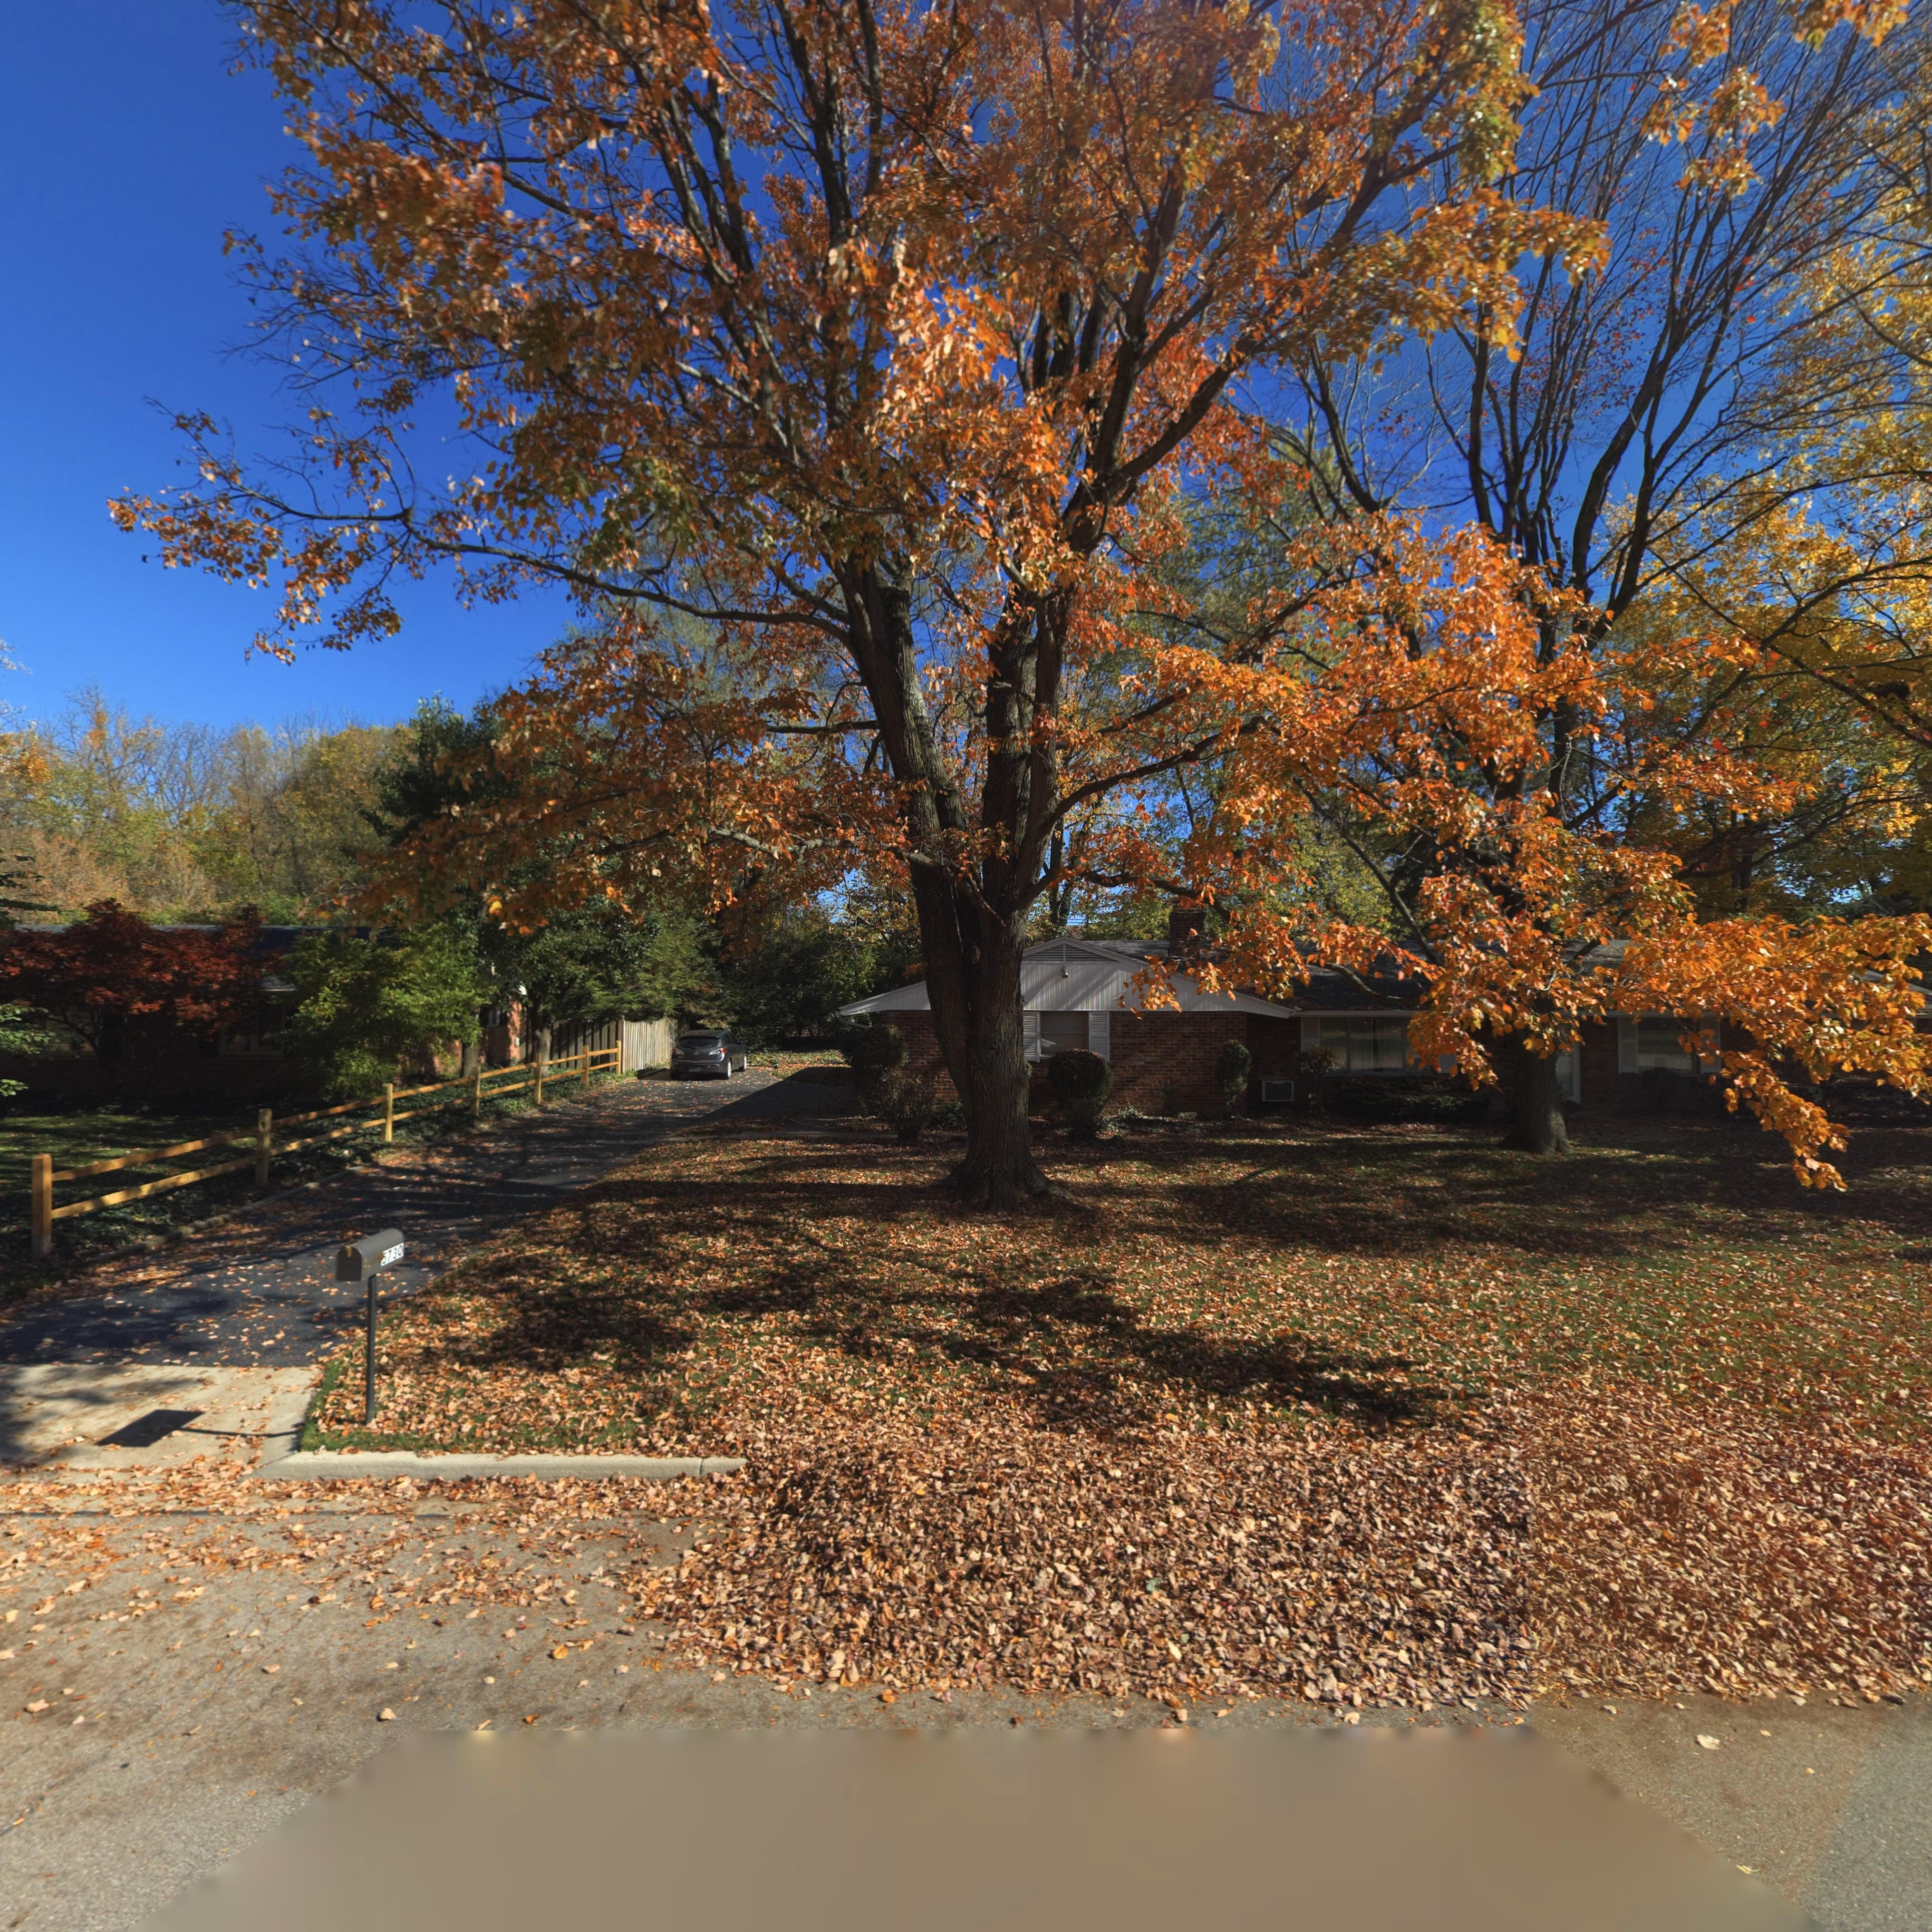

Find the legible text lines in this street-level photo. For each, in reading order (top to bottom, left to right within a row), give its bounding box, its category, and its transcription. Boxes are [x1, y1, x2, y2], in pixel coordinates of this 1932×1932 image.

[382, 1243, 403, 1265] StreetNumber: 5730